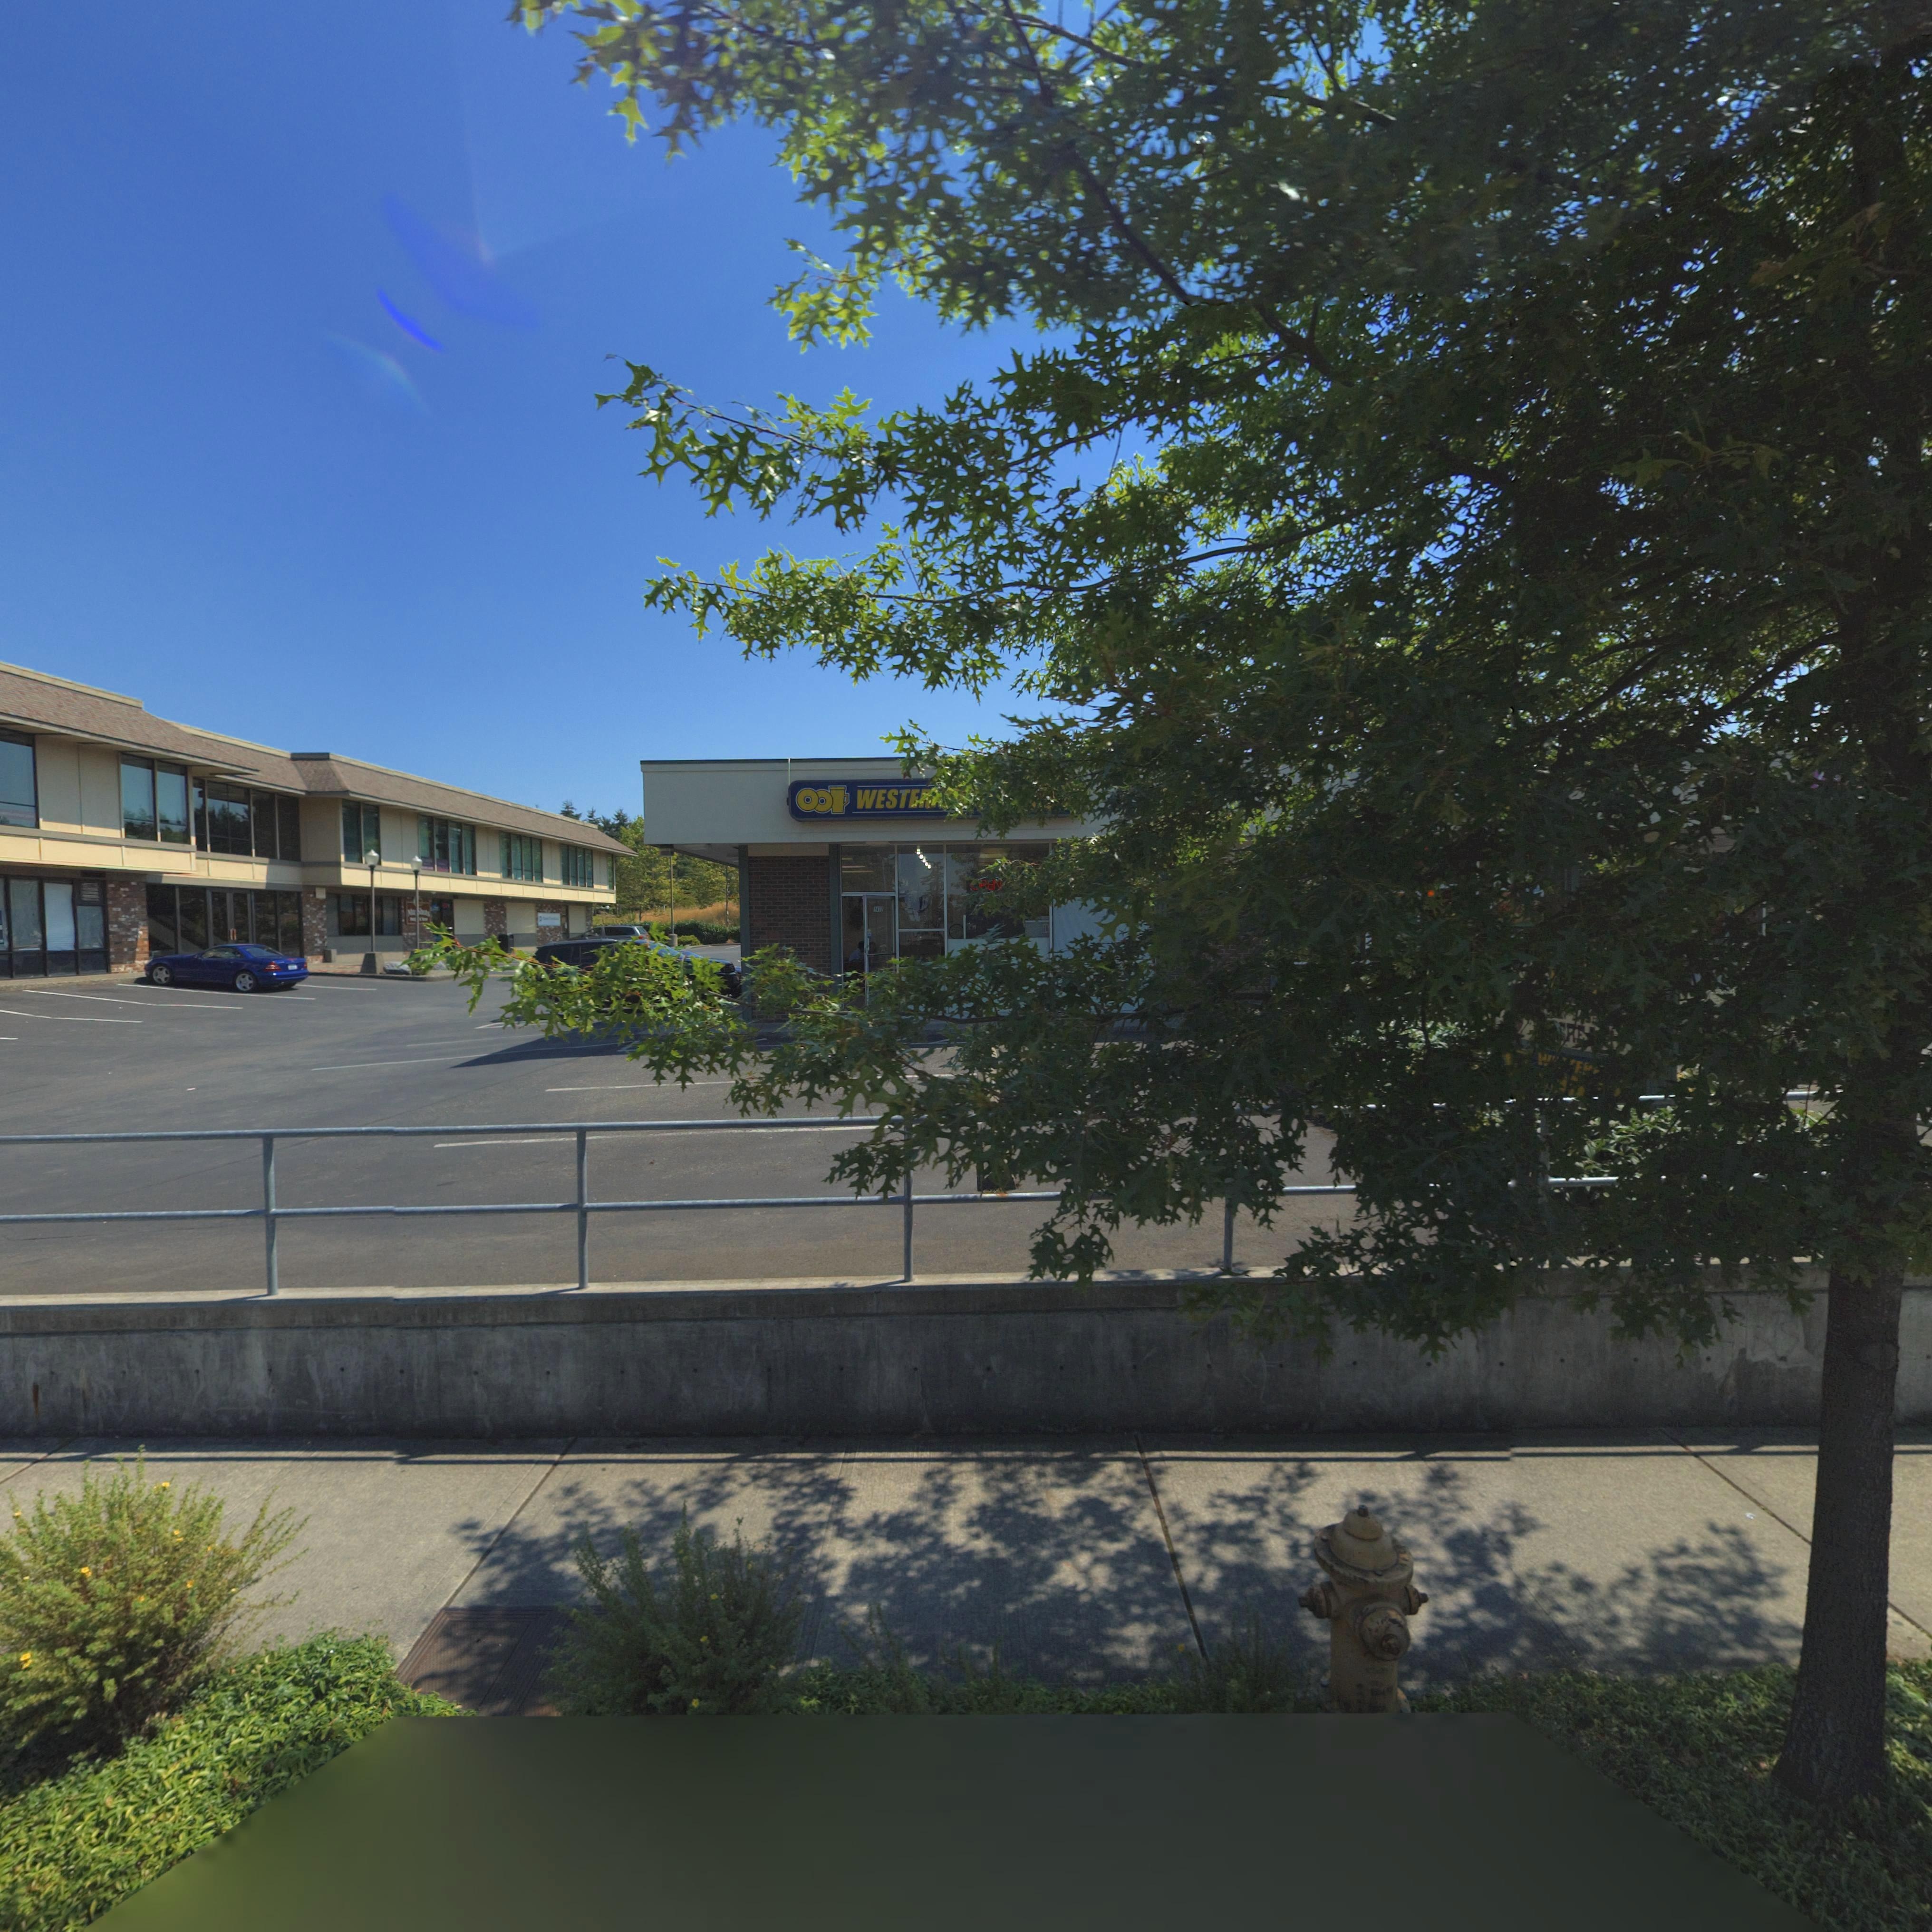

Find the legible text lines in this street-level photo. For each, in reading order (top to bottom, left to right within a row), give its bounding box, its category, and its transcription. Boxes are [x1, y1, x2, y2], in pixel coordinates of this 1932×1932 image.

[856, 786, 933, 810] BusinessName: WESTE*